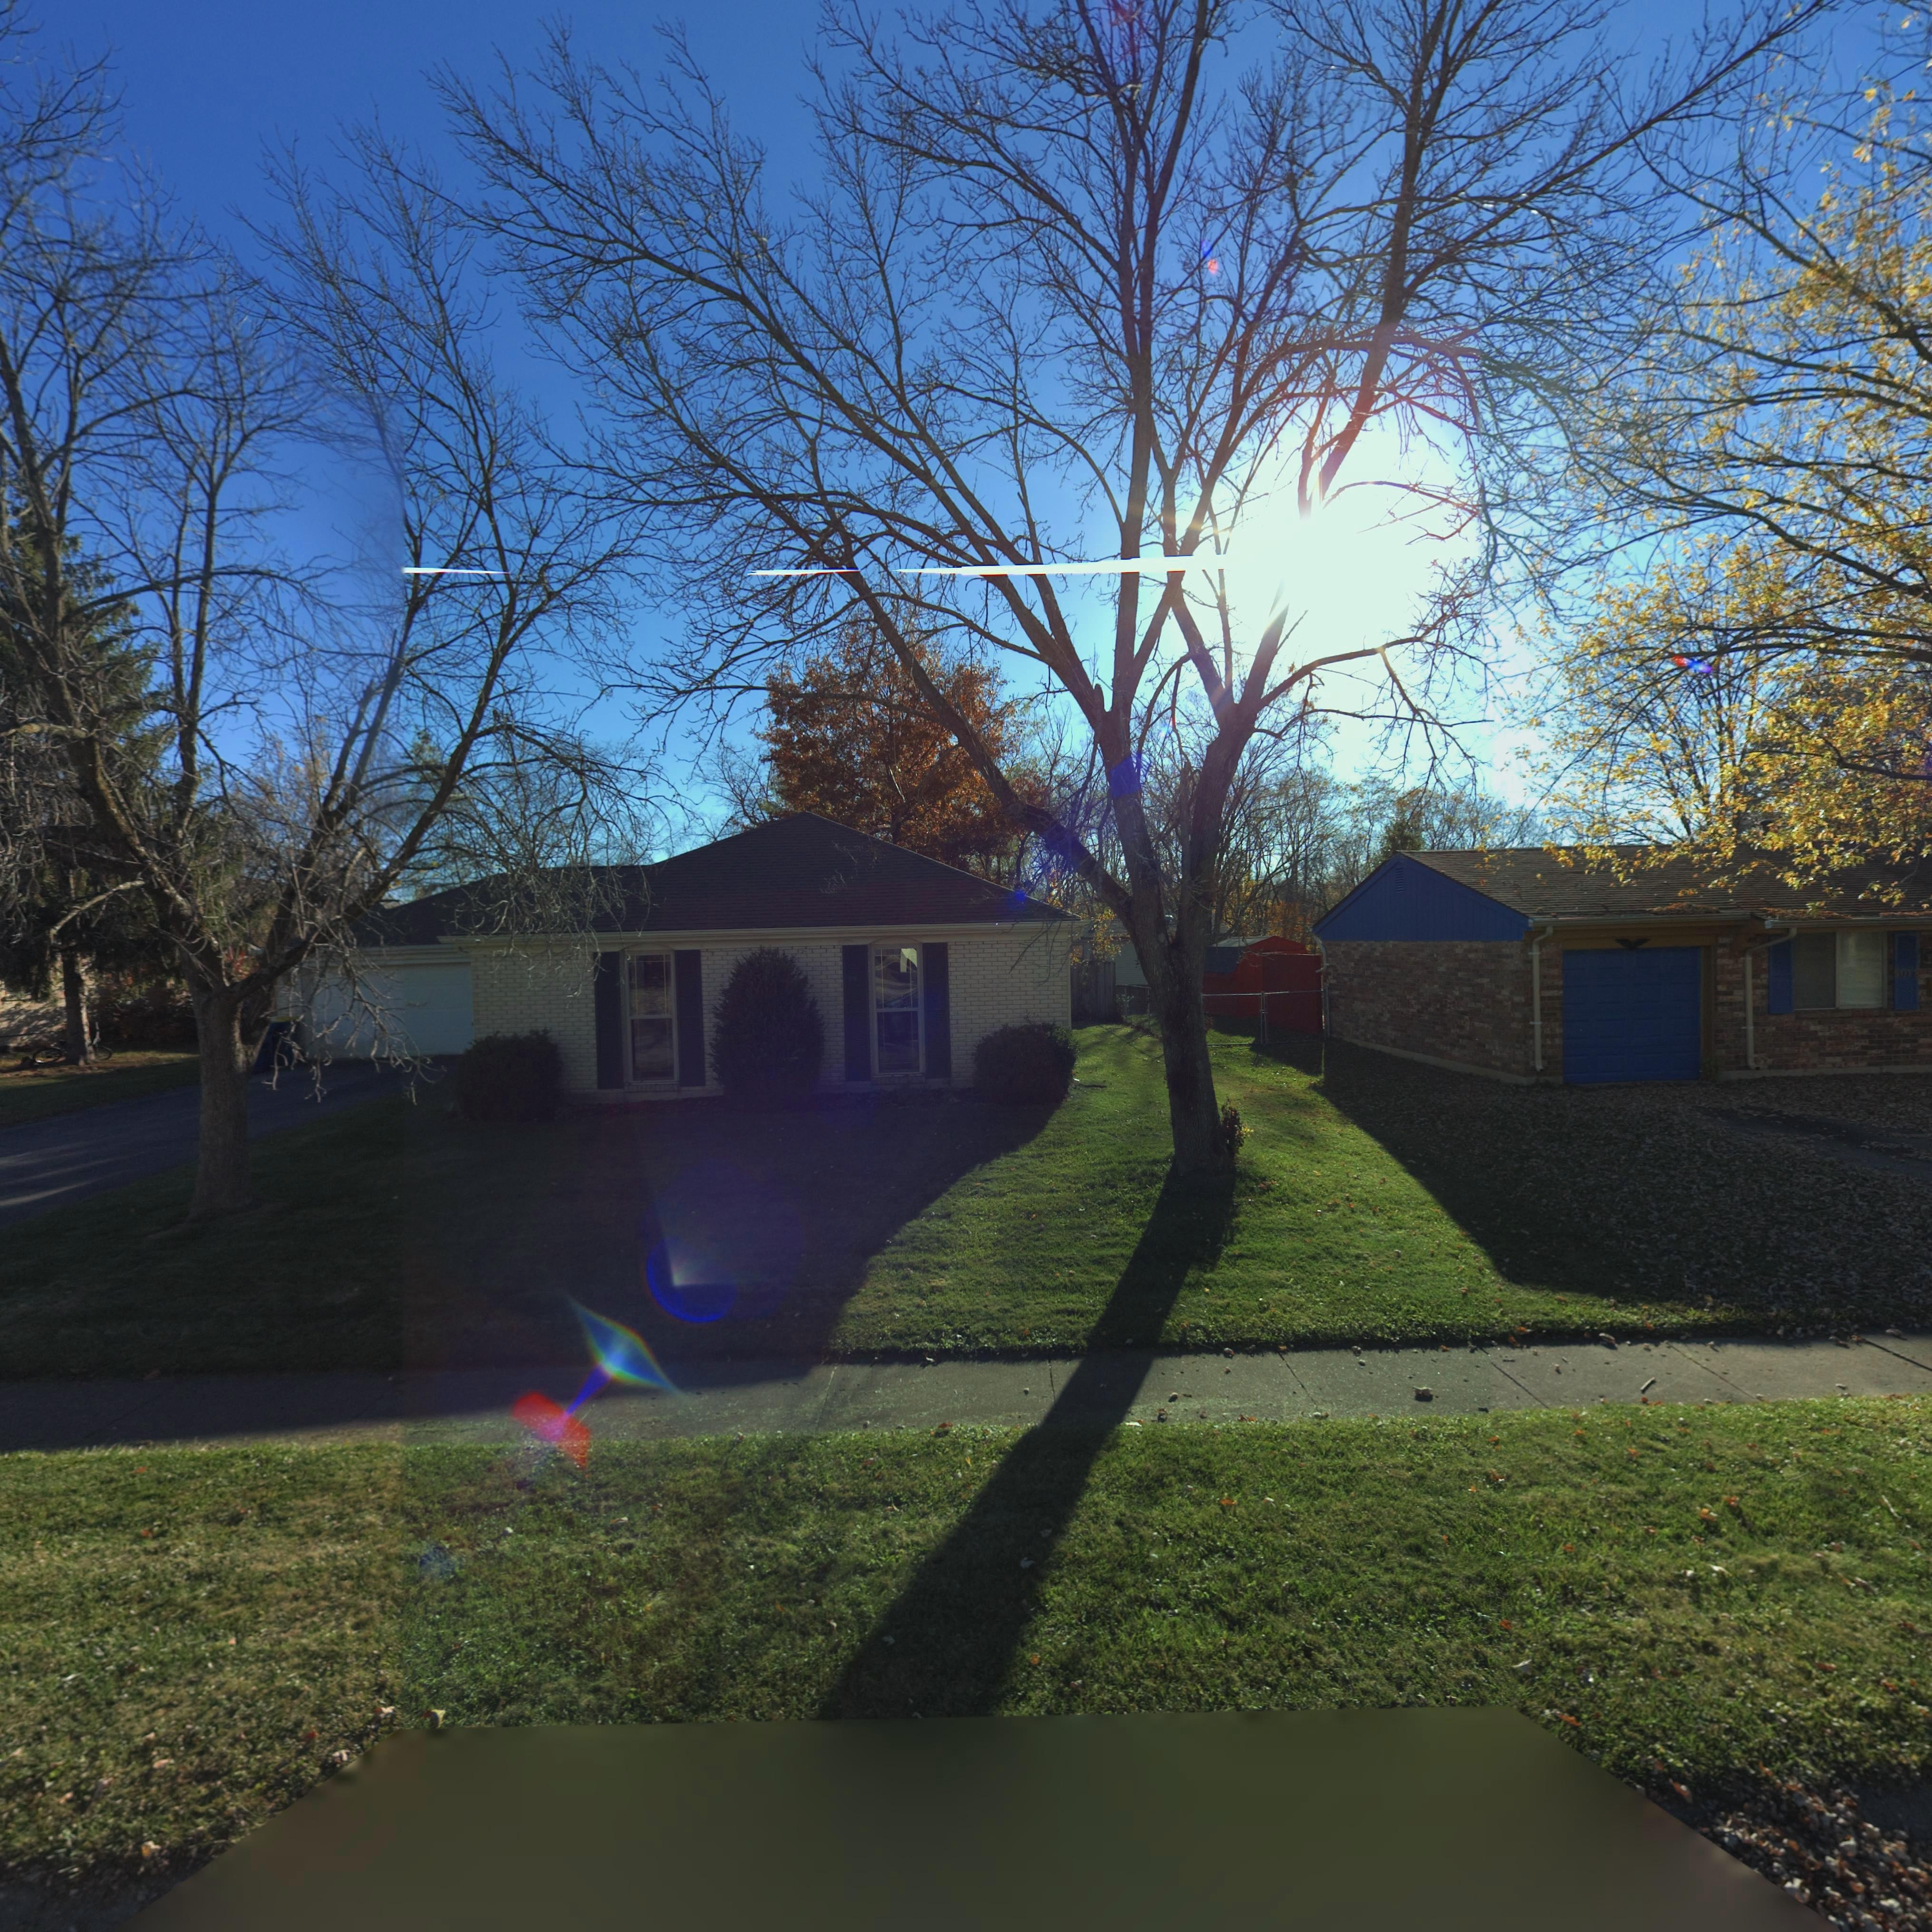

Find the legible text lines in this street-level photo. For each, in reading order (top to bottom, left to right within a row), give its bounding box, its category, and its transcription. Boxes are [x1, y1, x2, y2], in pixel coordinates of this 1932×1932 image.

[1893, 968, 1920, 978] StreetNumber: *018